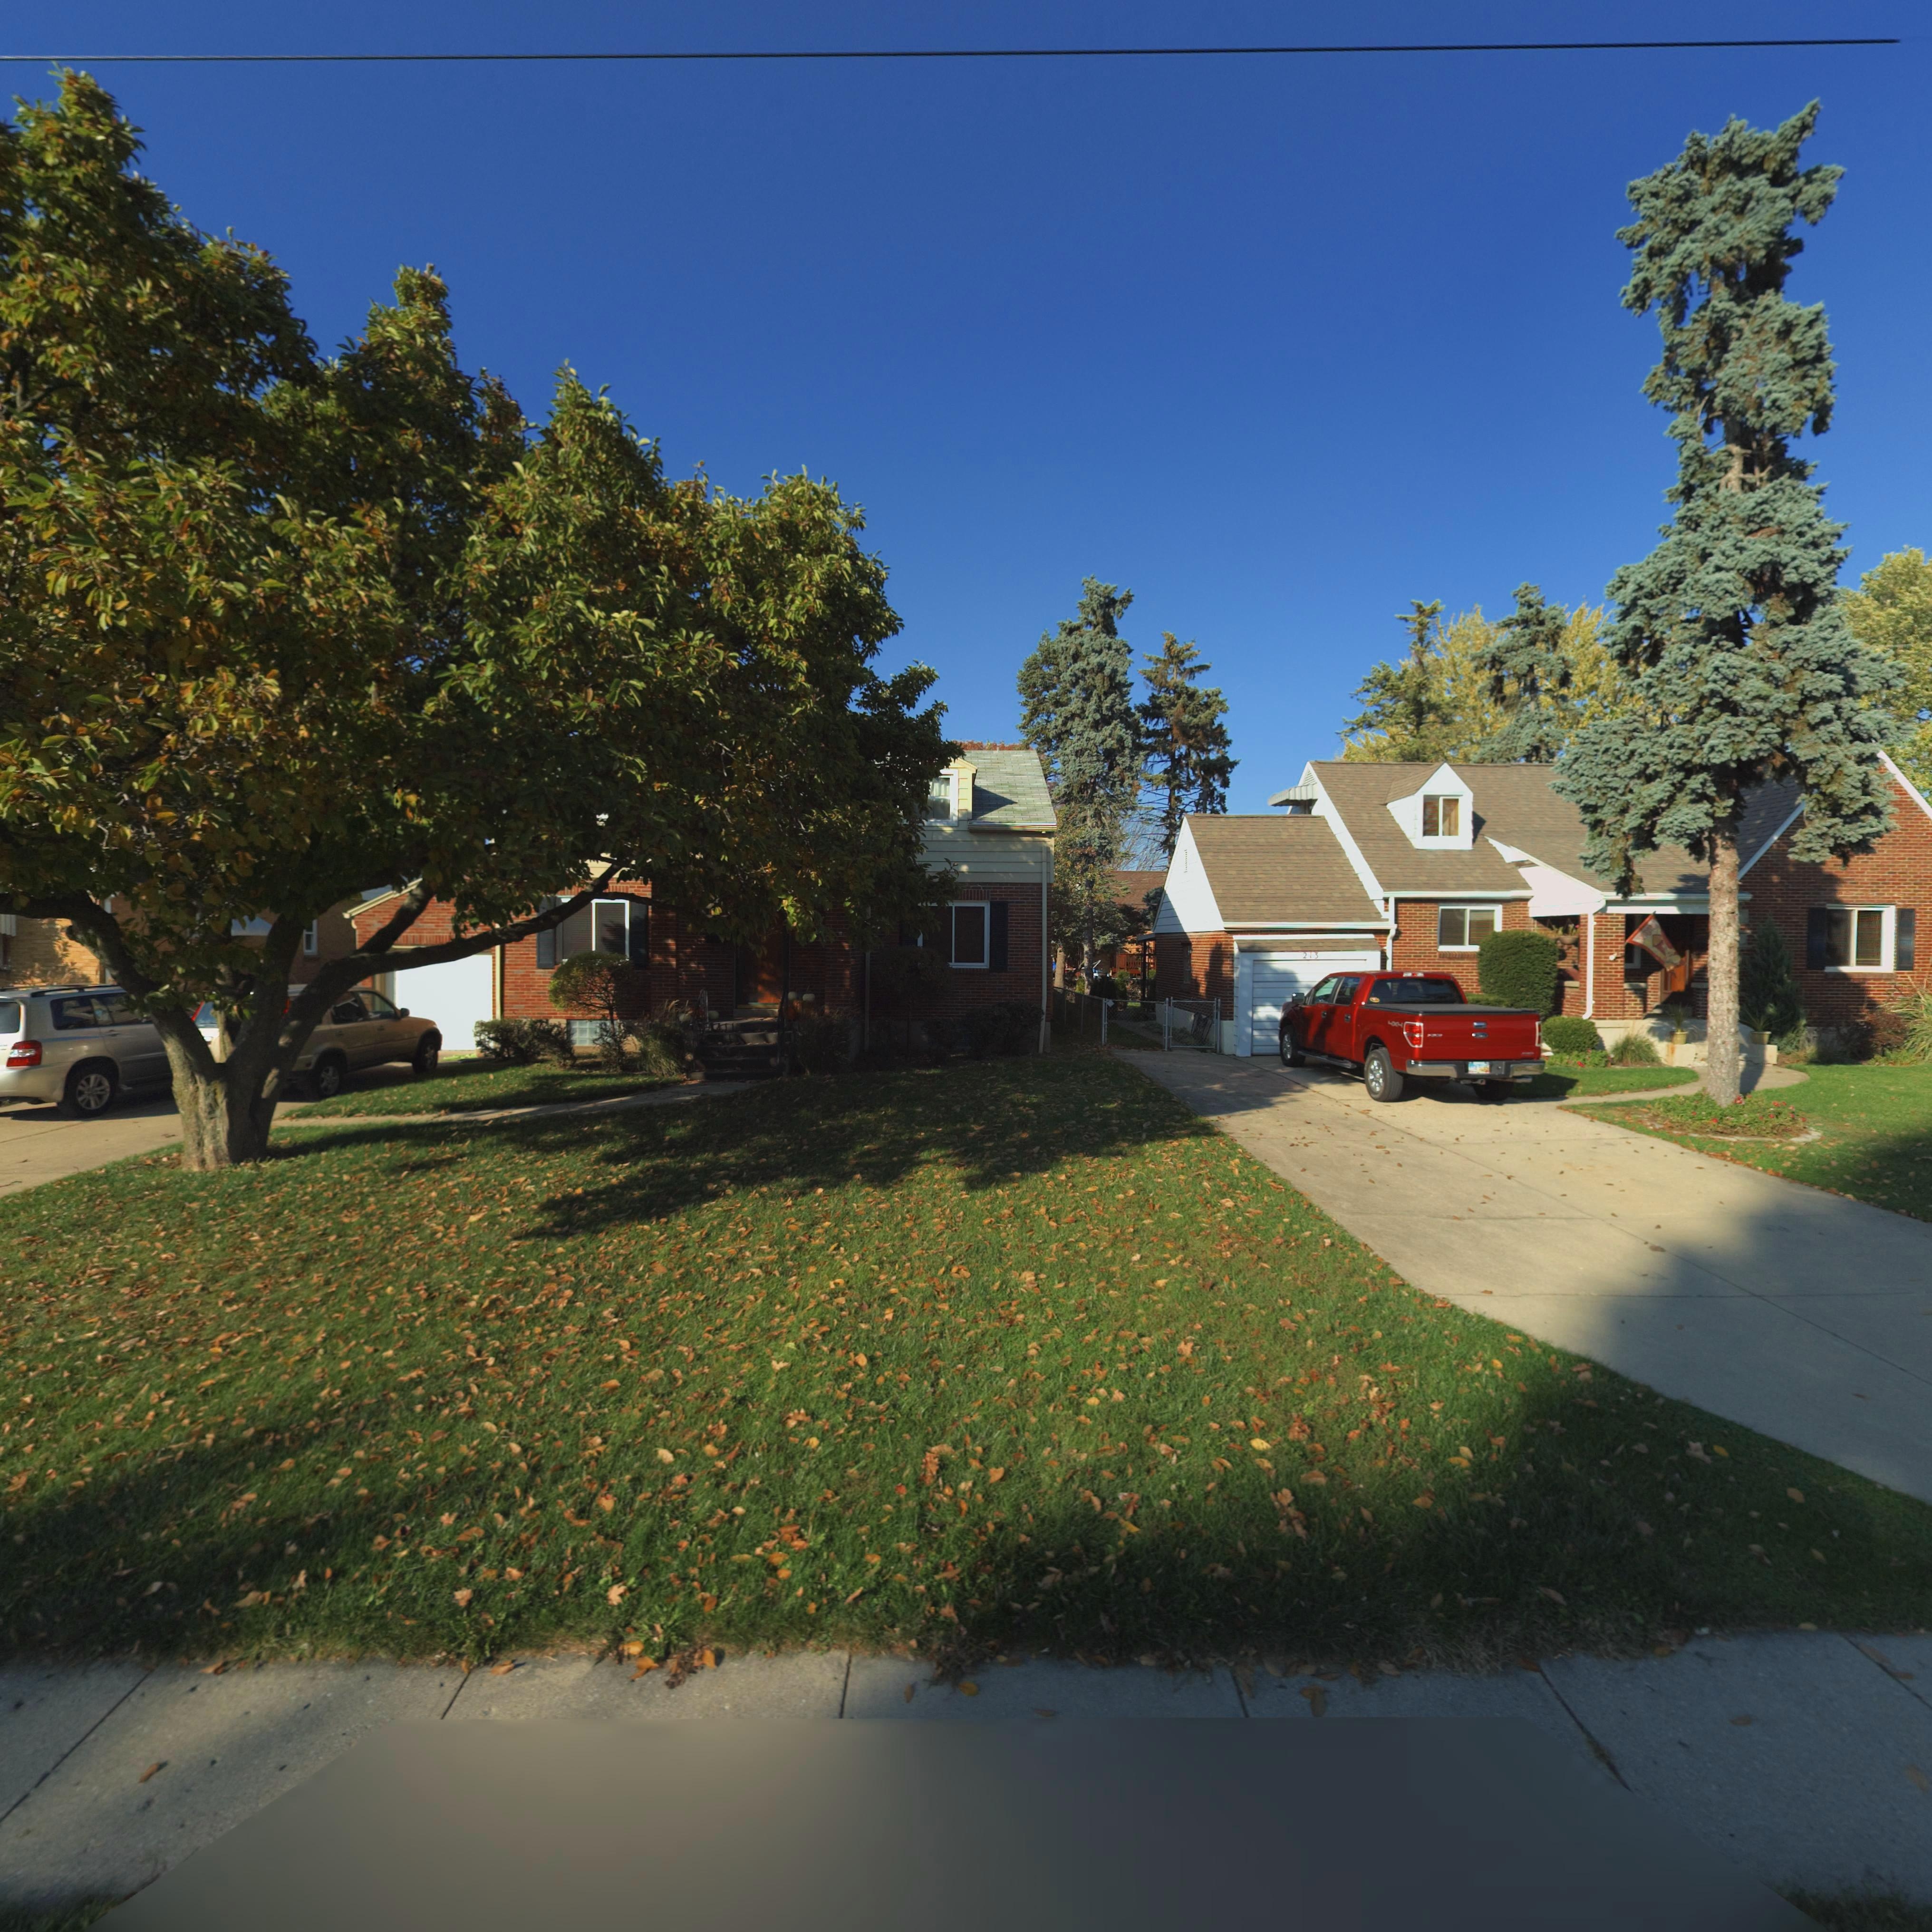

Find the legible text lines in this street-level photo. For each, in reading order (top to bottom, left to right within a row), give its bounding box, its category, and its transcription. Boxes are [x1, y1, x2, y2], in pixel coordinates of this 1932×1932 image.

[1301, 951, 1320, 960] StreetNumber: 213